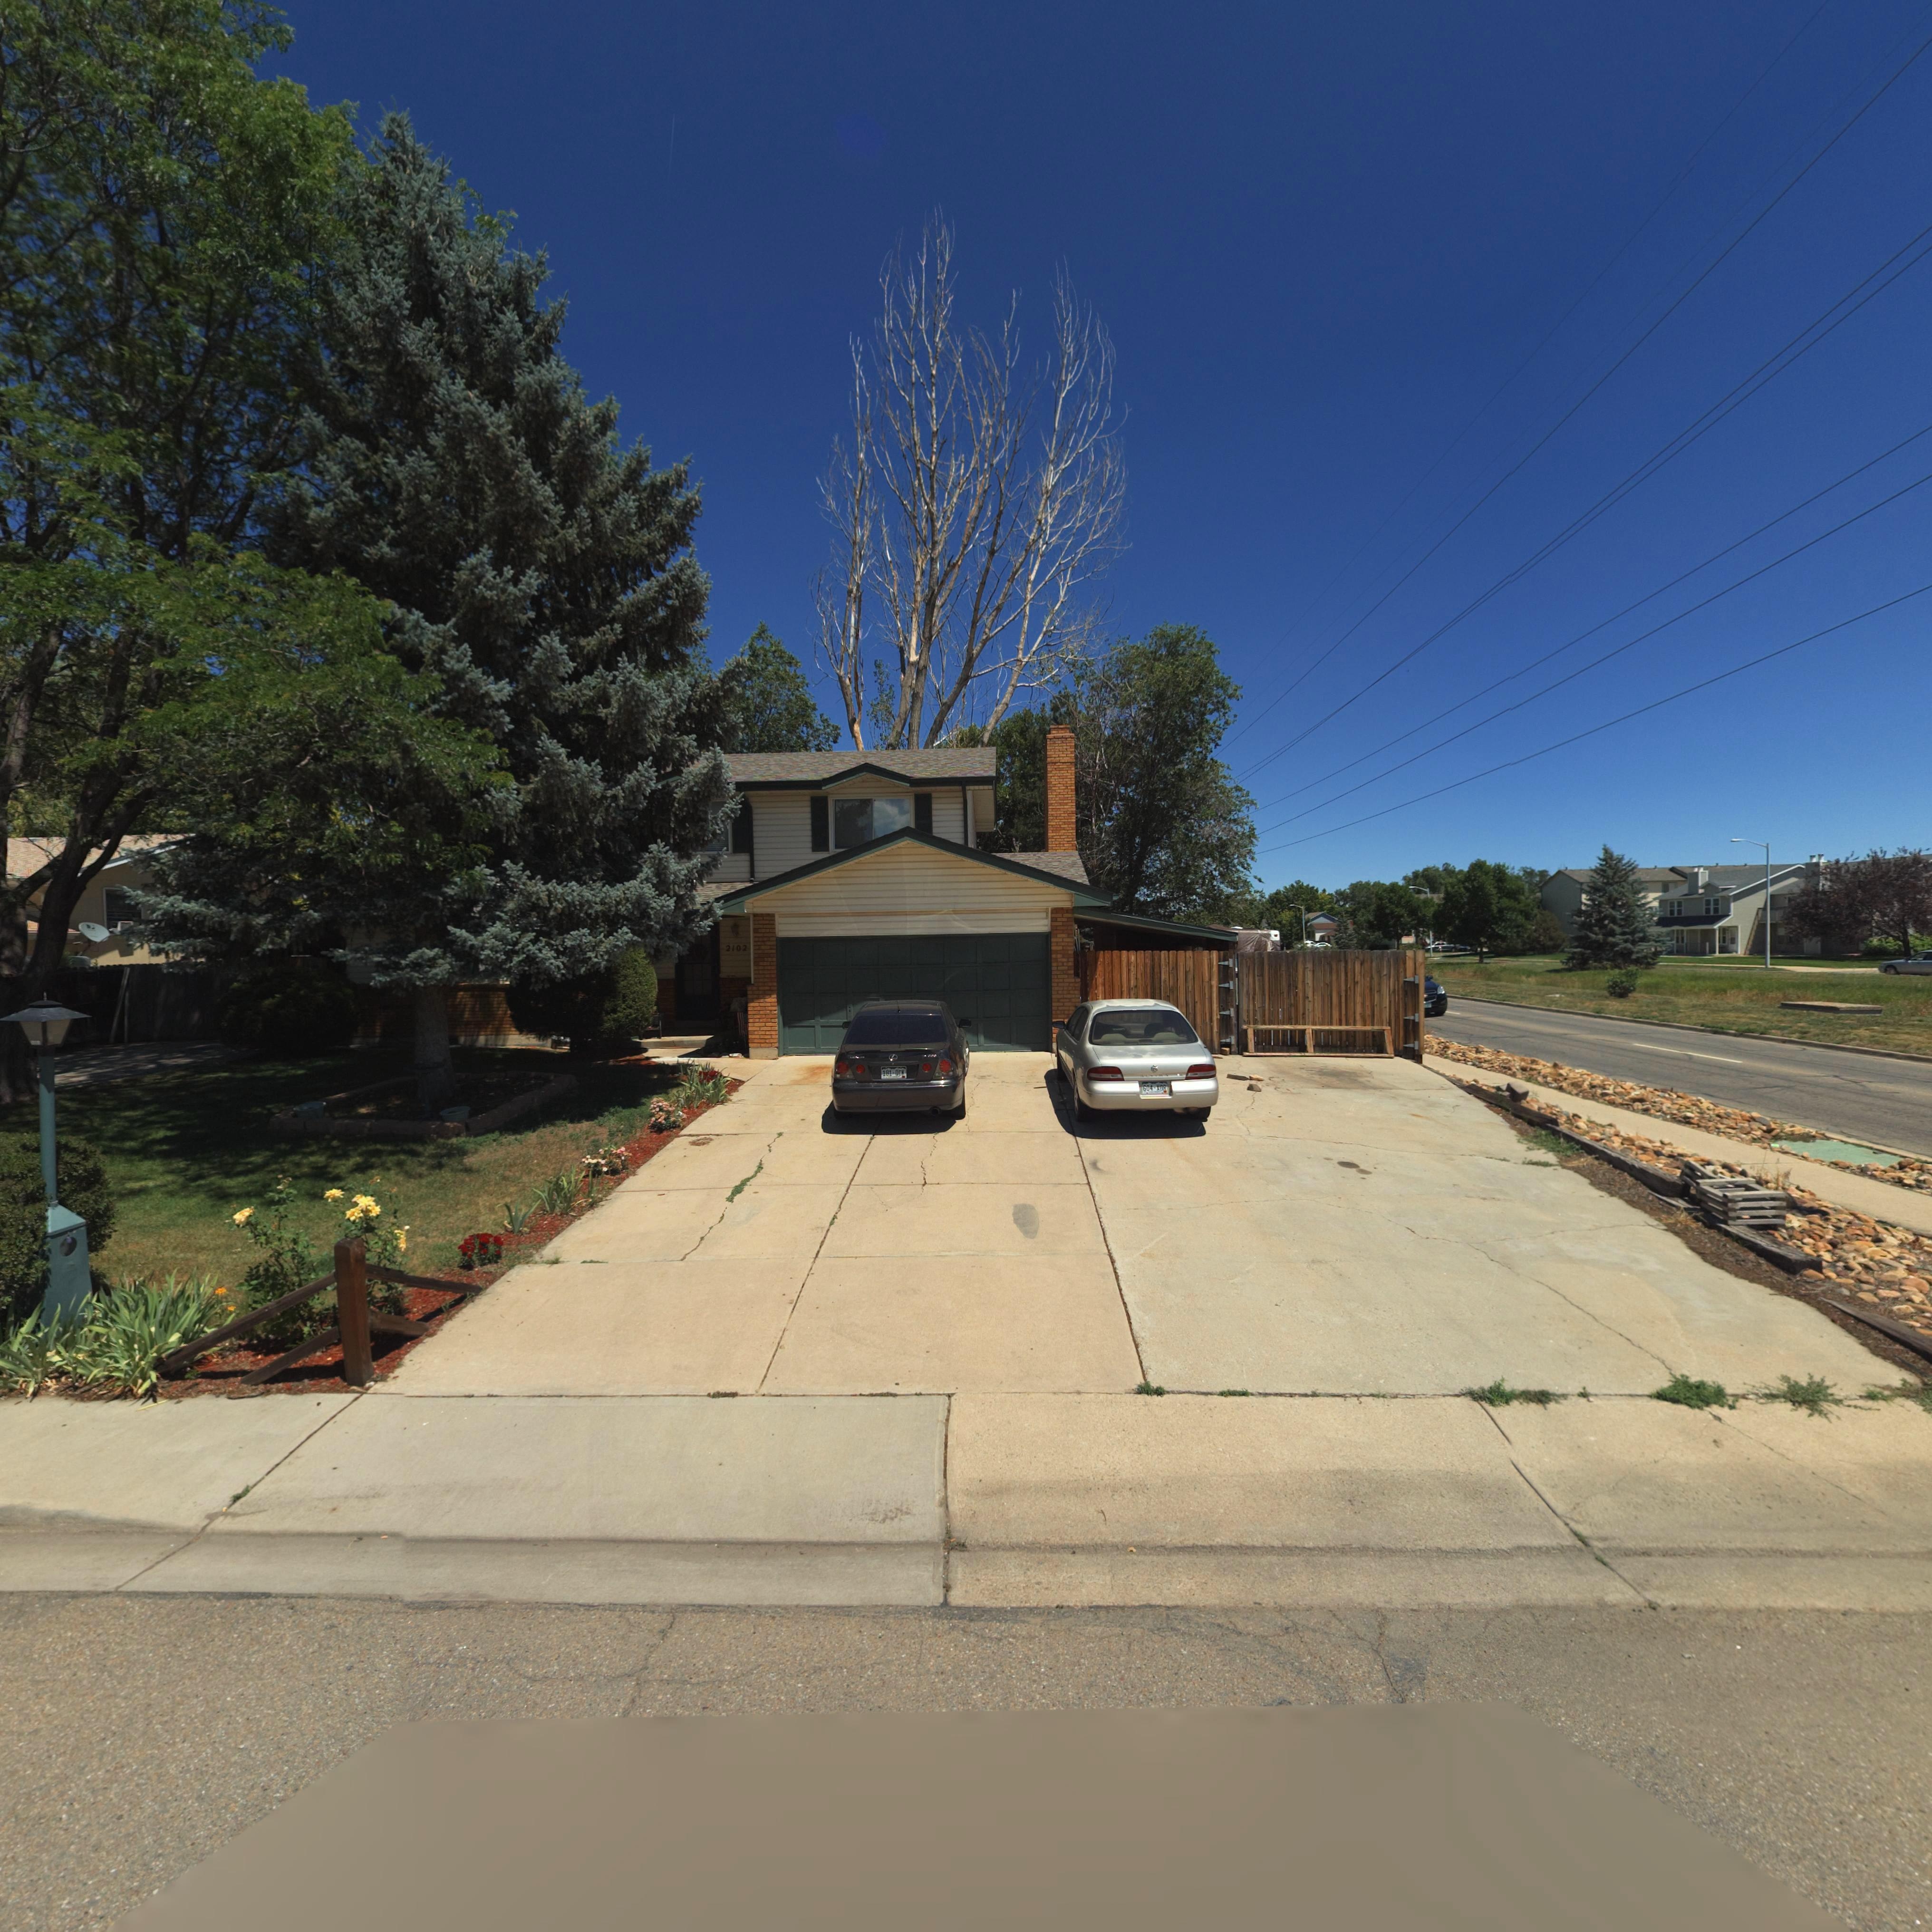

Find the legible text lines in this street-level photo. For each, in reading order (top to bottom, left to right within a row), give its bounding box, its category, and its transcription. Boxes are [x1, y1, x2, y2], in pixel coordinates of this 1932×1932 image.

[725, 944, 747, 951] StreetNumber: 2102